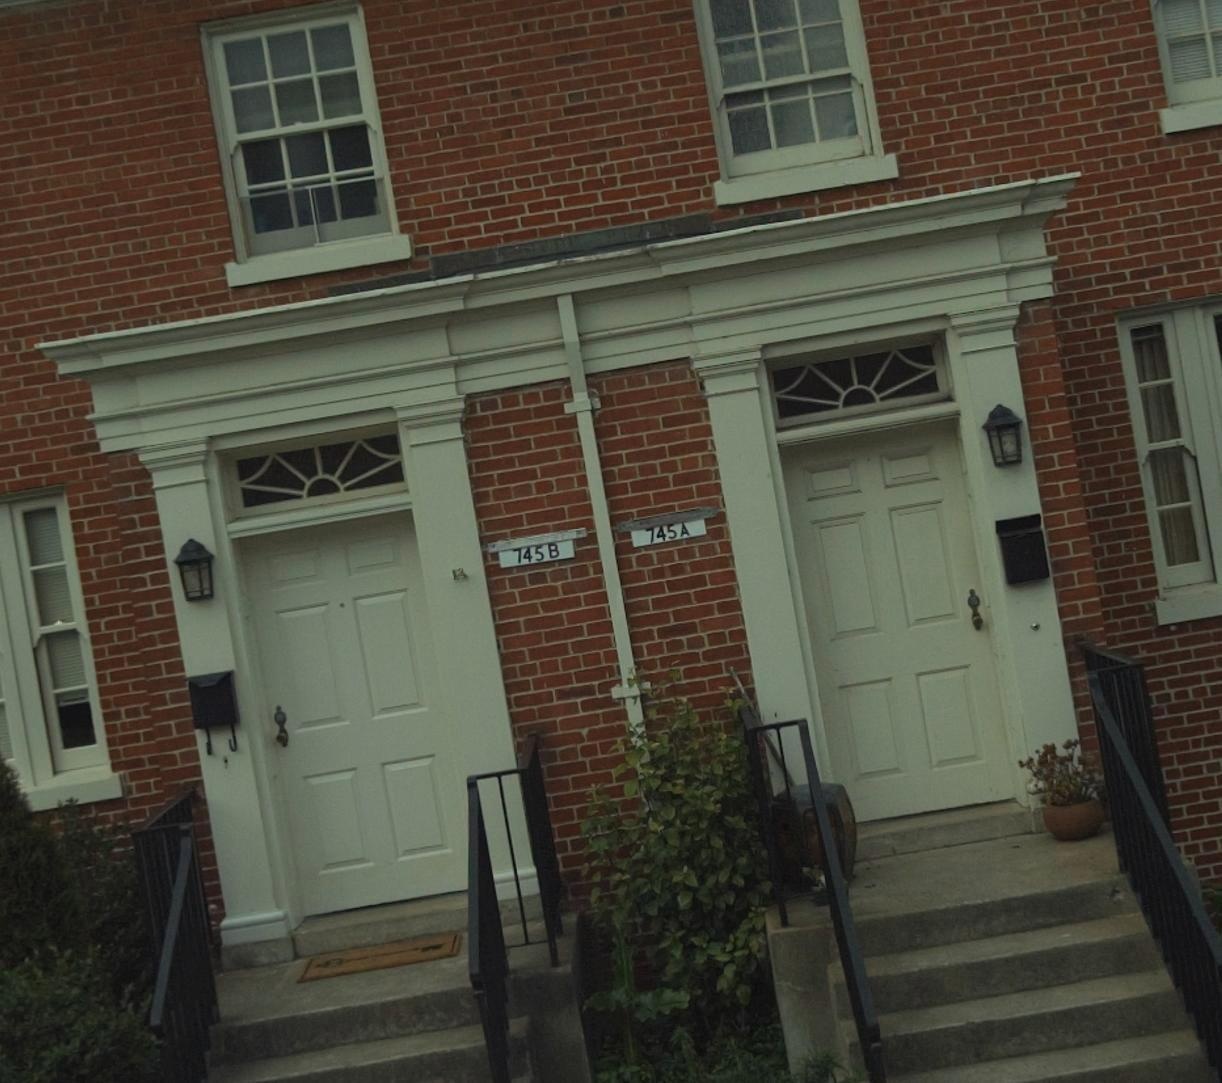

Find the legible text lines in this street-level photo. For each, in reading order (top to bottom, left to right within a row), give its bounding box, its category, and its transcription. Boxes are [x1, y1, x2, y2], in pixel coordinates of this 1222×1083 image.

[643, 520, 693, 544] StreetNumber: 745 A
[511, 540, 561, 565] StreetNumber: 745 B